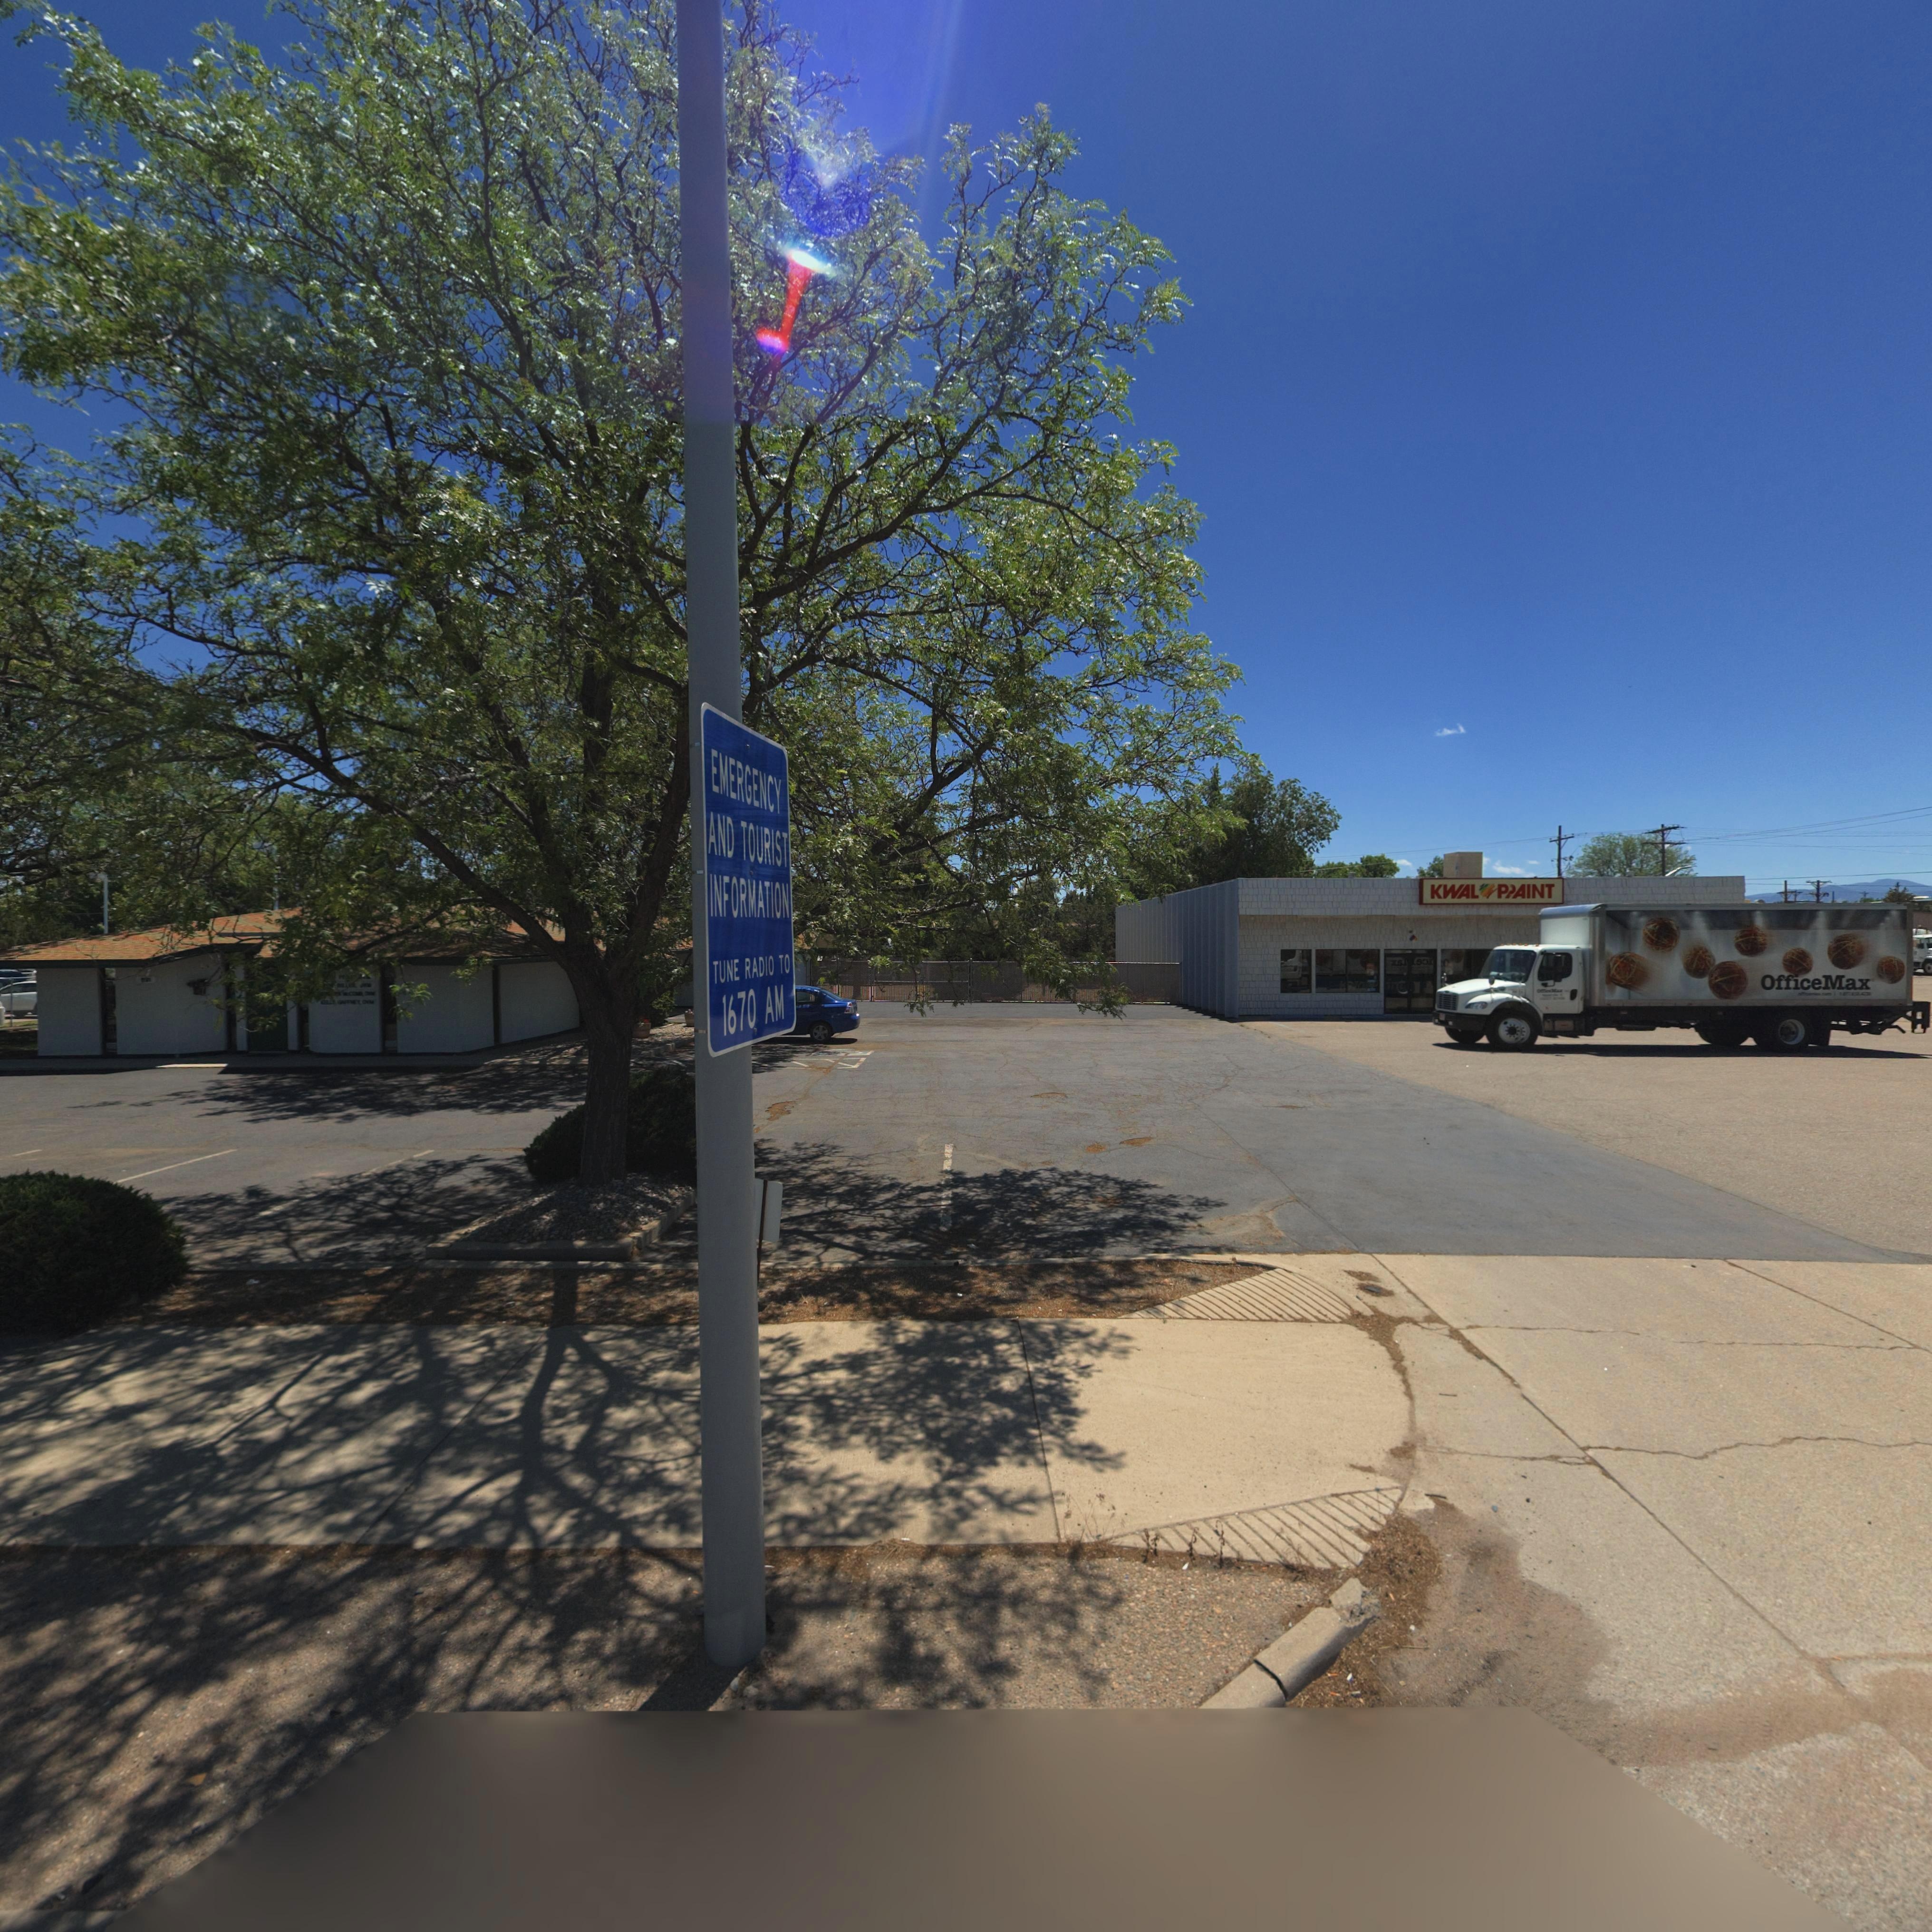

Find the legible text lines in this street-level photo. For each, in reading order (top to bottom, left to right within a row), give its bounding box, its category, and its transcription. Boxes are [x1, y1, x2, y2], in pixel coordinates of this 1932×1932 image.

[1430, 883, 1555, 899] BusinessName: KWAL P*AINT